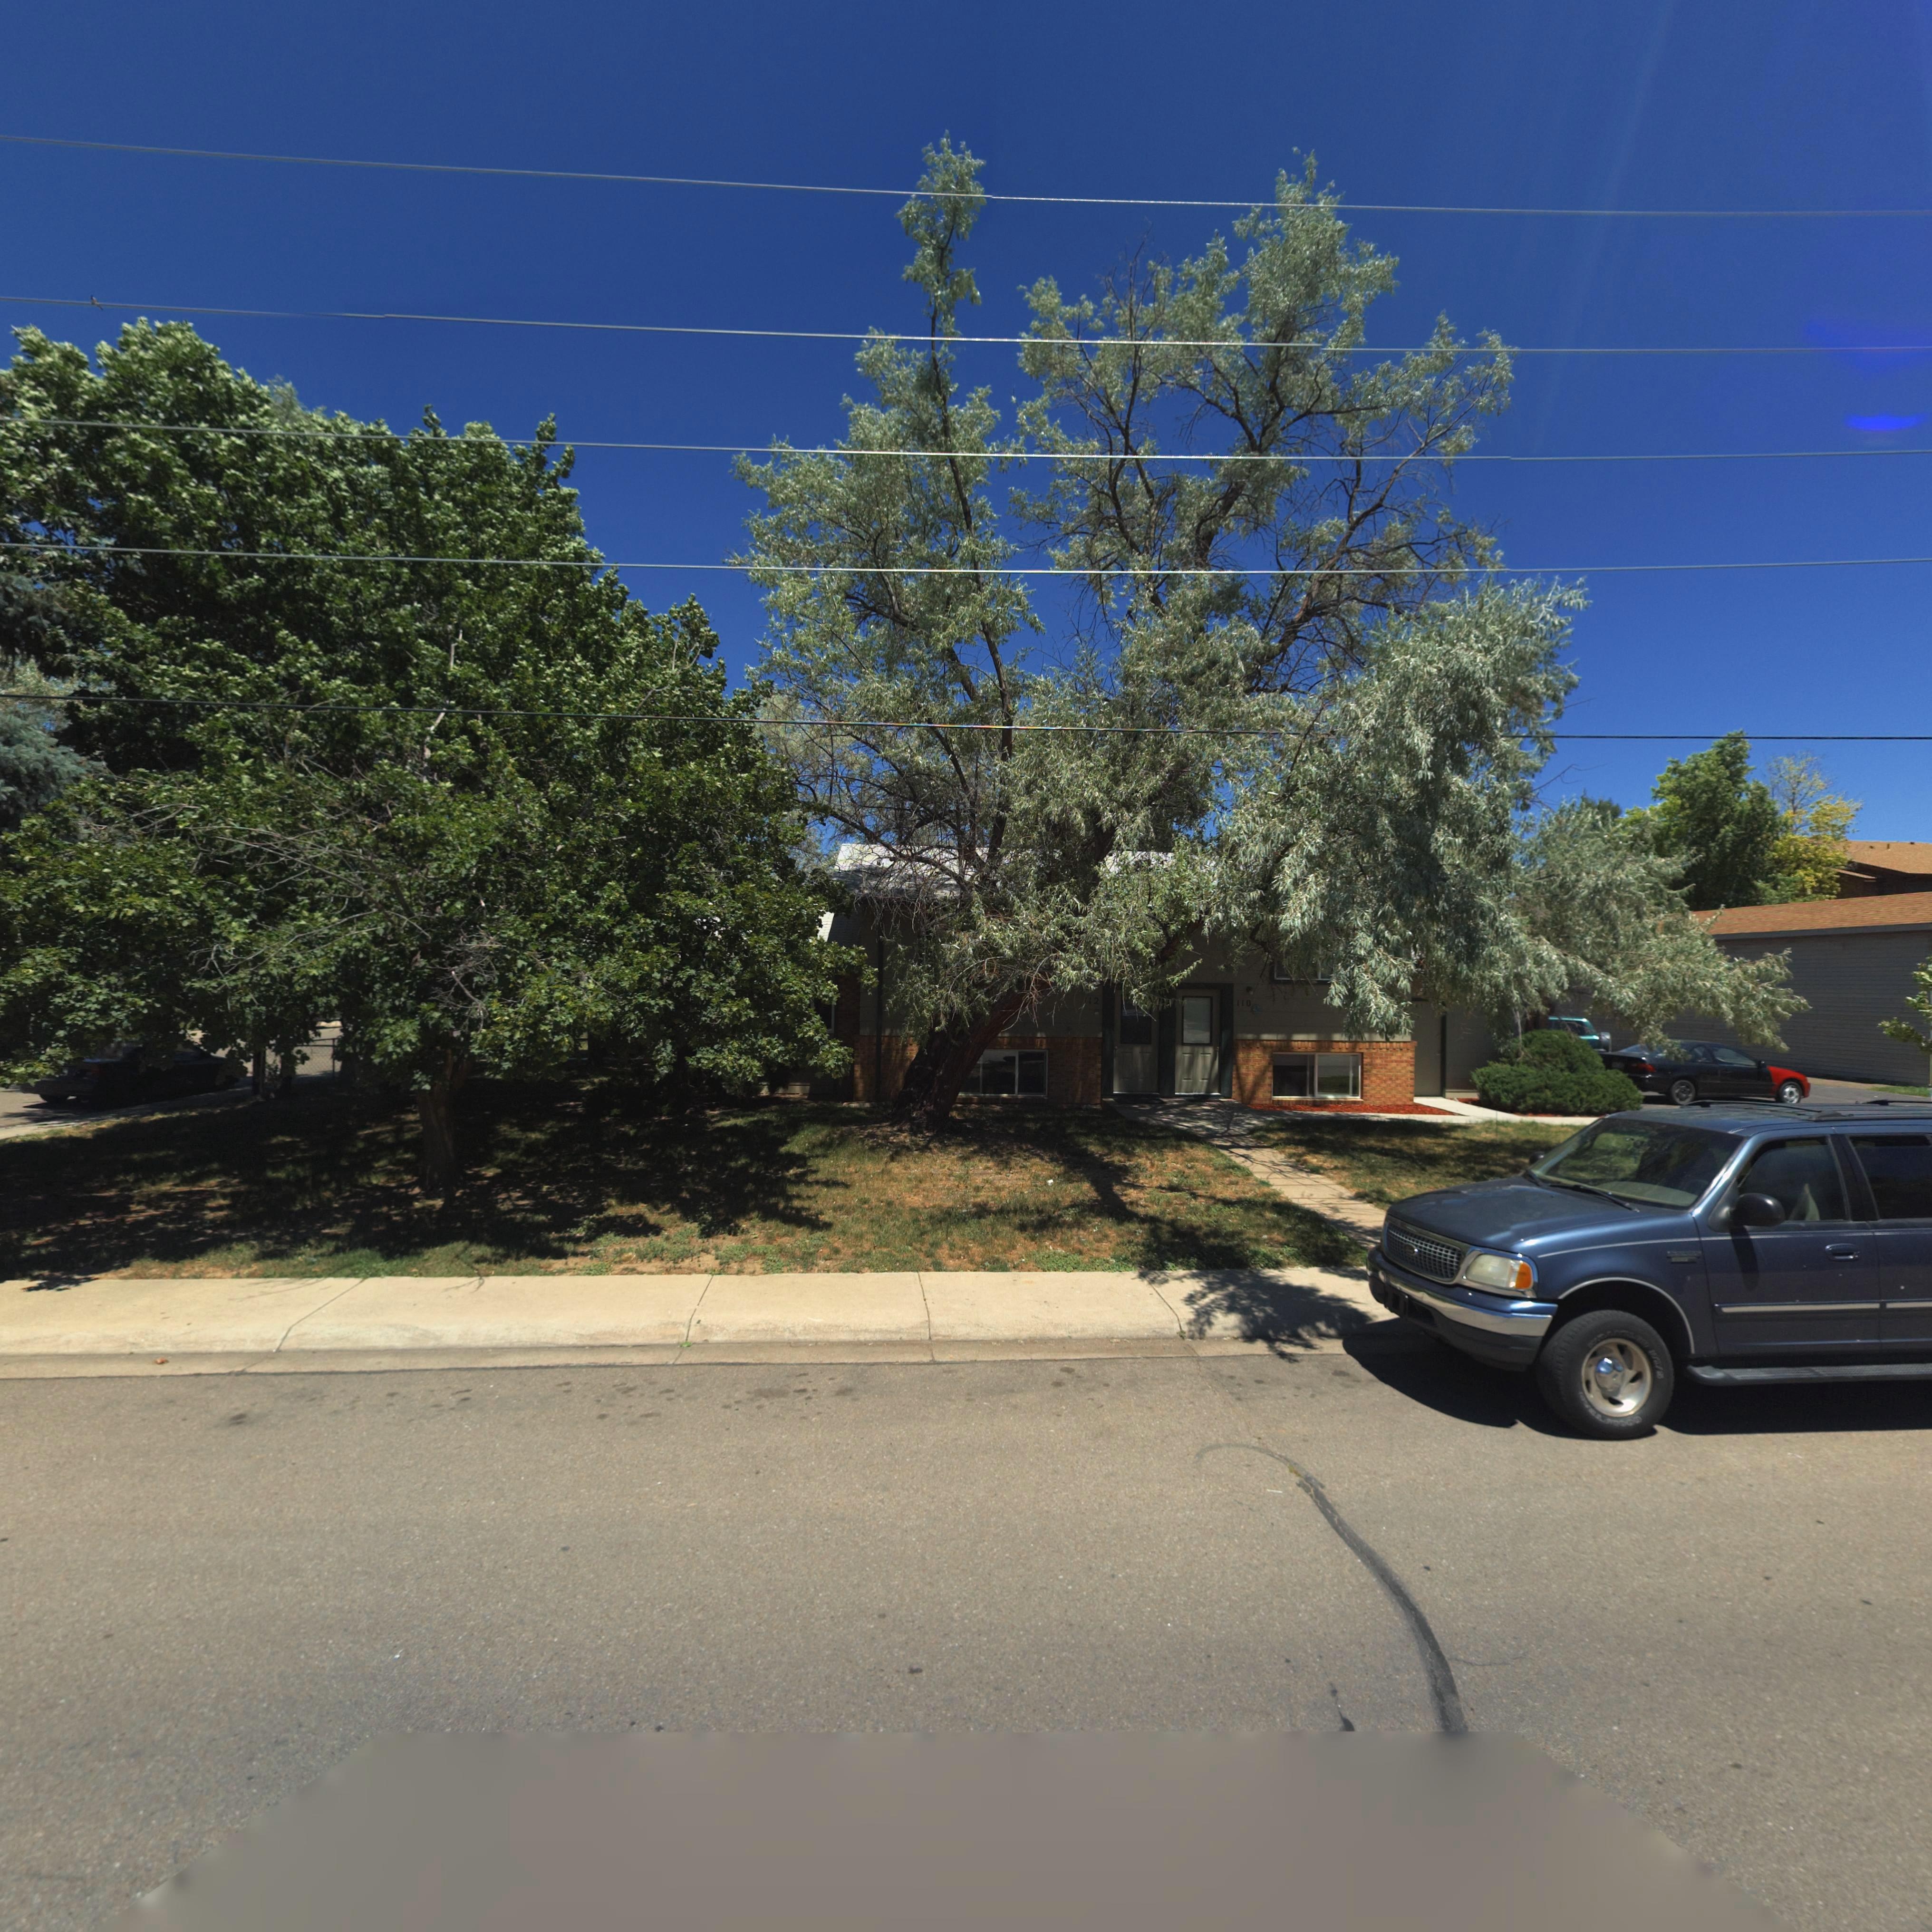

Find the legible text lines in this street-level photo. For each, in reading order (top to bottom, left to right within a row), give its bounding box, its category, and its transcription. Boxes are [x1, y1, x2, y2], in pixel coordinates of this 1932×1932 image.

[1236, 999, 1251, 1007] StreetNumber: 110